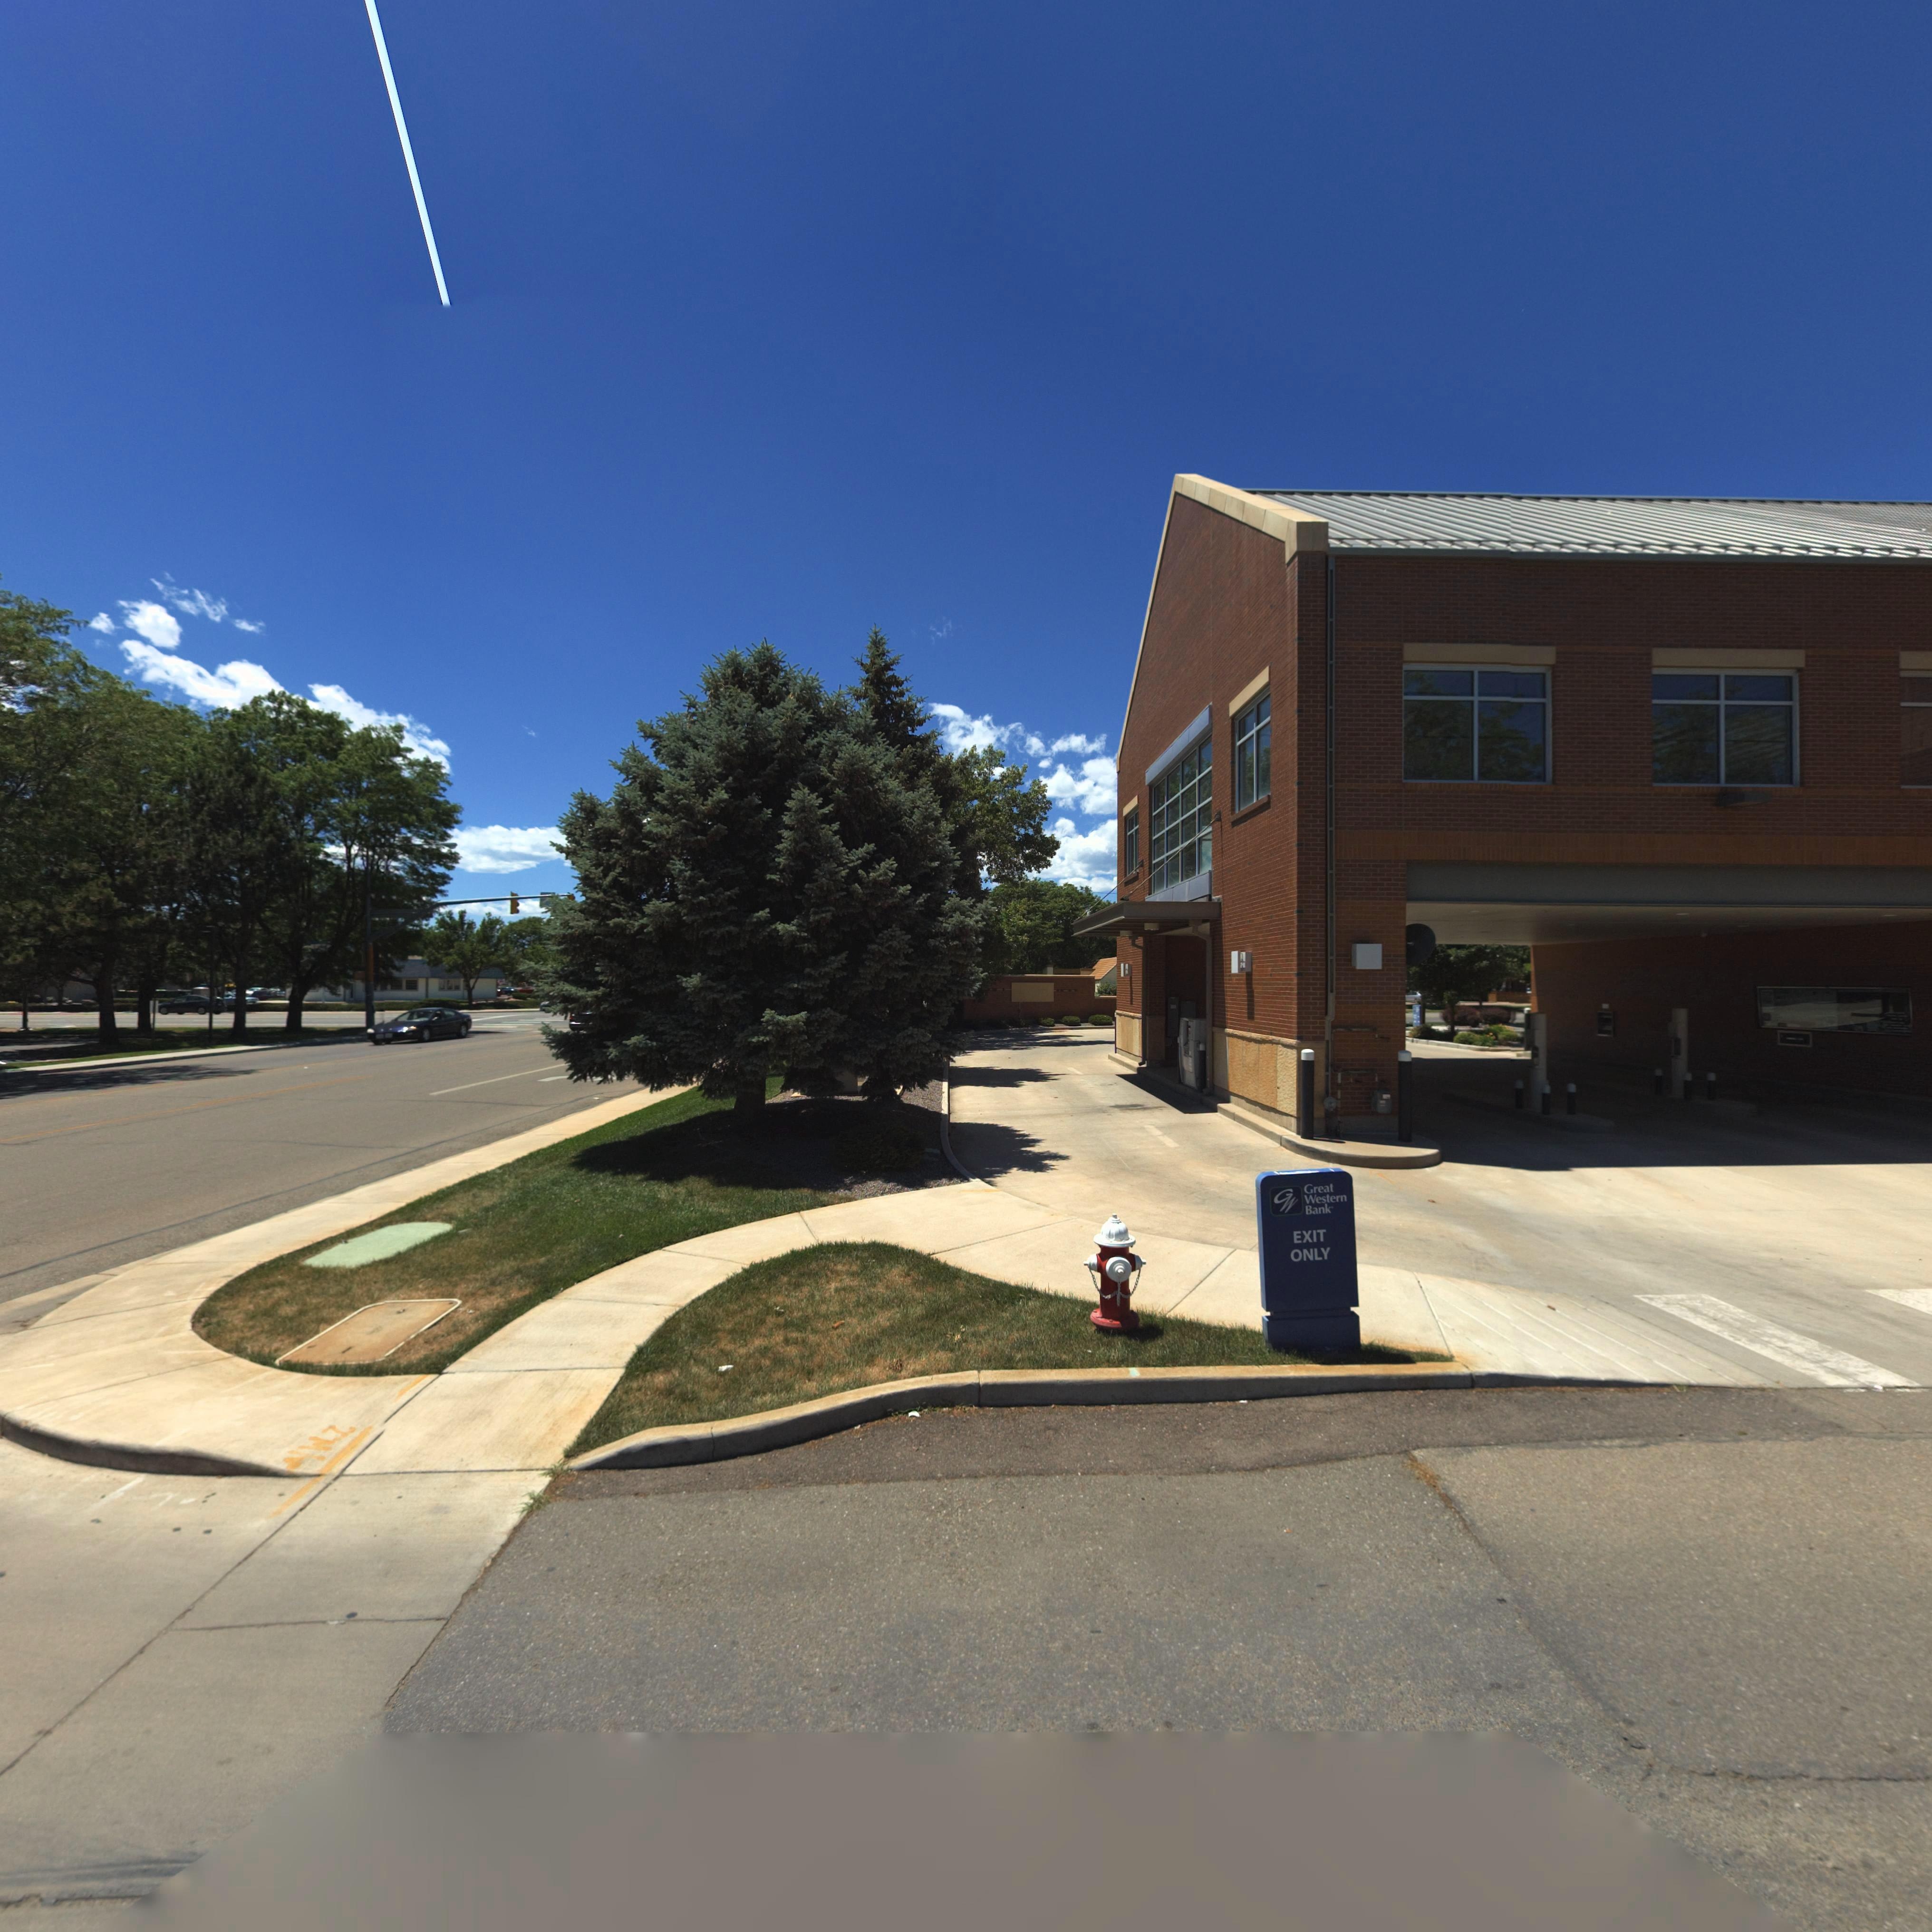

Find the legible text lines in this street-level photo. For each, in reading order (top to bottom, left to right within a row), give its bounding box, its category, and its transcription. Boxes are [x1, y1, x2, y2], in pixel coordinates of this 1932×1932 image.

[1303, 1182, 1334, 1194] BusinessName: Great
[1303, 1193, 1348, 1204] BusinessName: Western
[1305, 1203, 1332, 1215] BusinessName: Bank